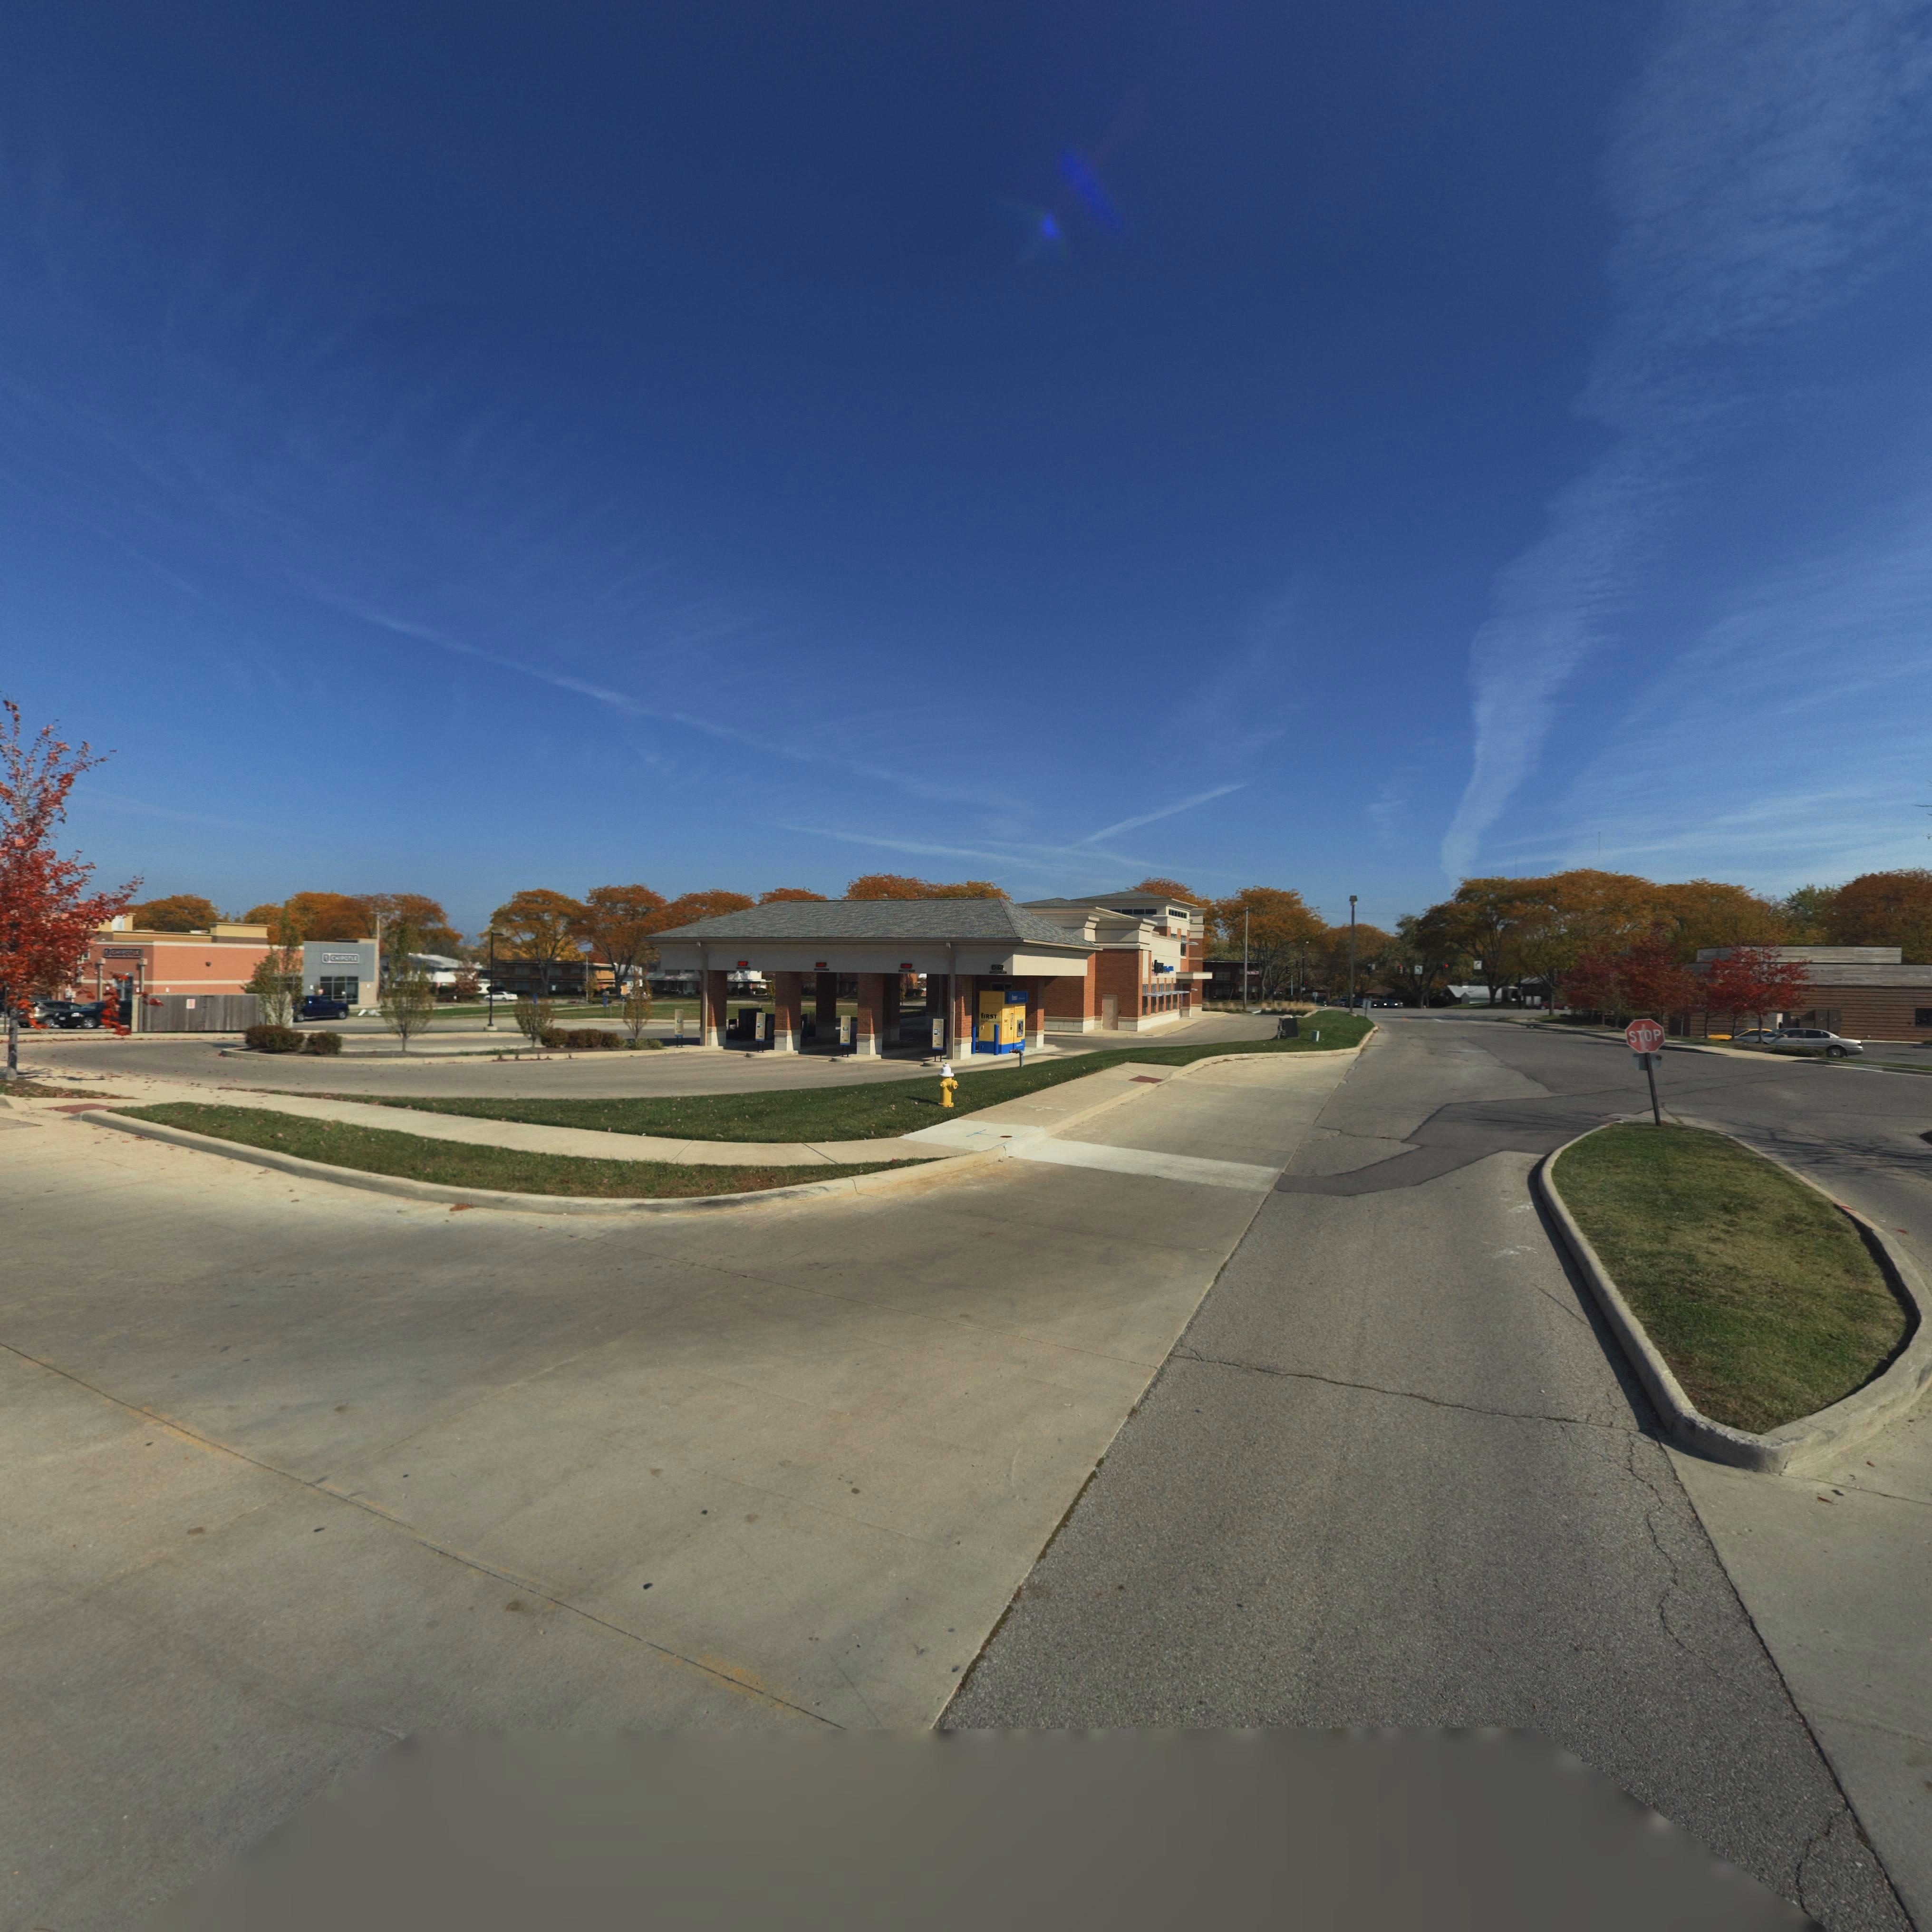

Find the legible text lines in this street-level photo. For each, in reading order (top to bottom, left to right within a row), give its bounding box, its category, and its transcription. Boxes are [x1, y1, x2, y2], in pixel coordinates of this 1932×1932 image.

[330, 955, 357, 962] BusinessName: CHIPOTLE
[980, 1012, 998, 1020] BusinessName: fIRST